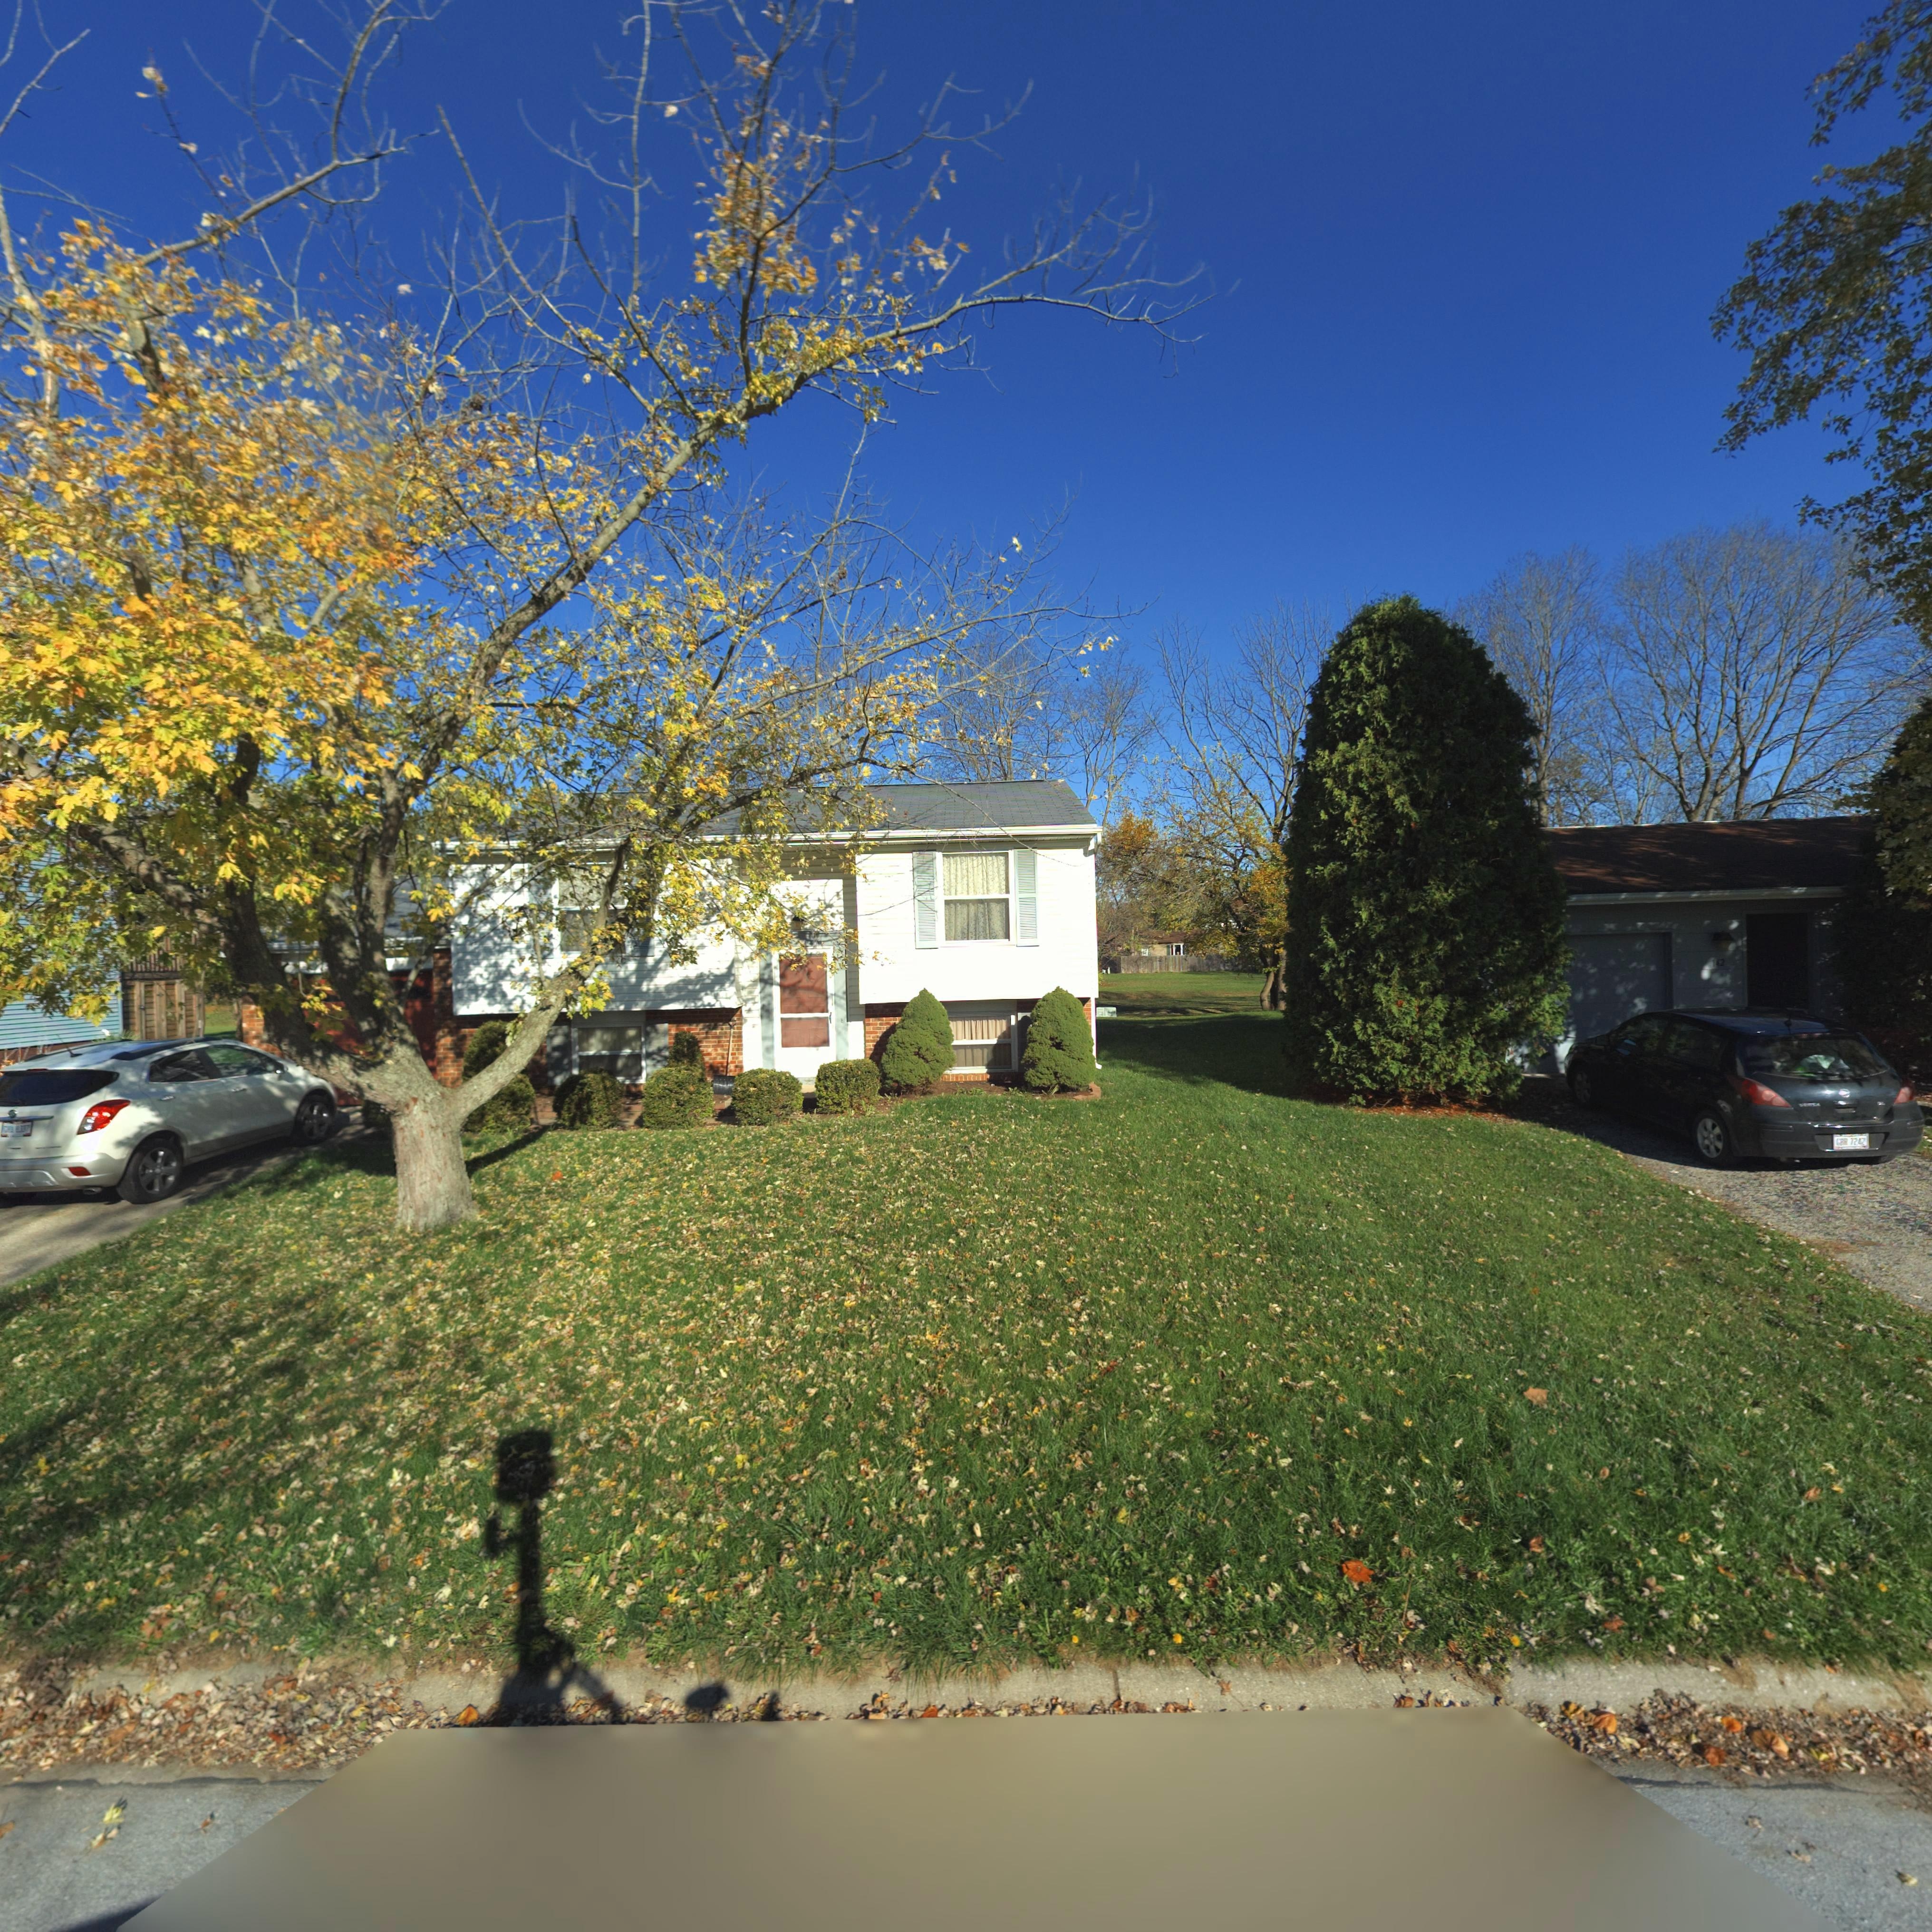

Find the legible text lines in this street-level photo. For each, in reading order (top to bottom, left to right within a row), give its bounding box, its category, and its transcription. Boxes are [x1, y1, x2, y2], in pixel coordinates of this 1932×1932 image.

[1711, 958, 1726, 967] StreetNumber: 142